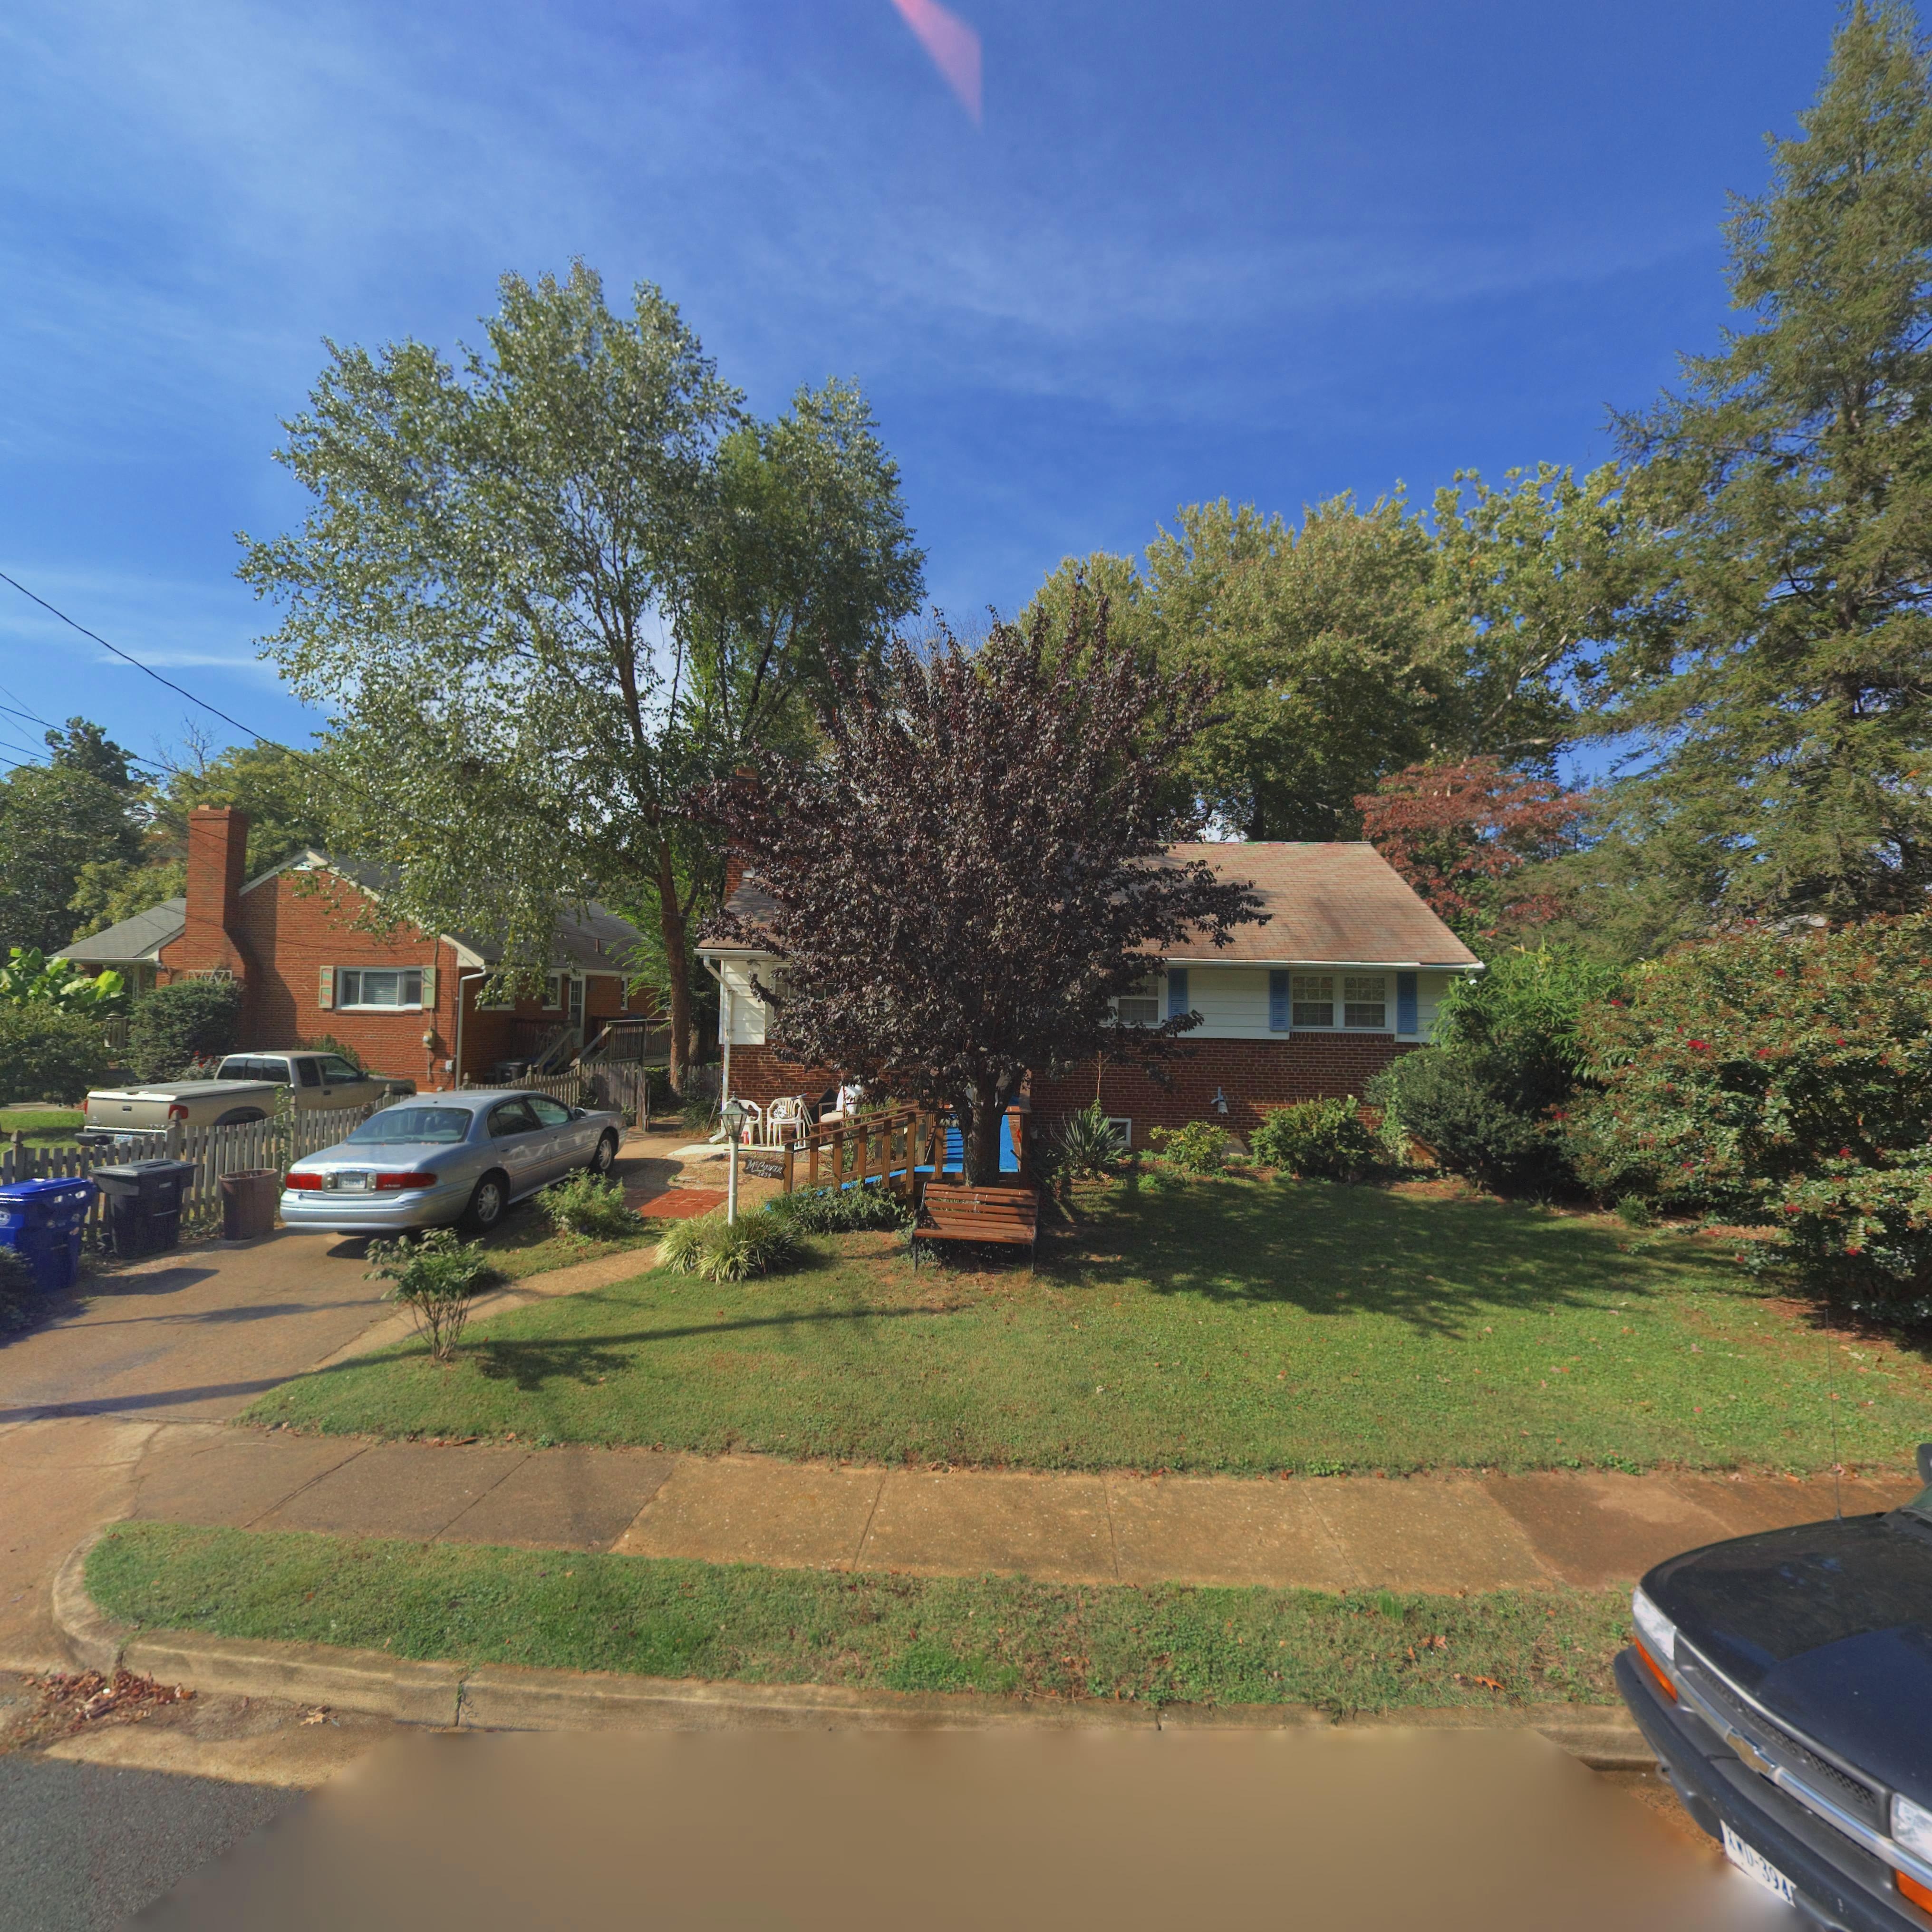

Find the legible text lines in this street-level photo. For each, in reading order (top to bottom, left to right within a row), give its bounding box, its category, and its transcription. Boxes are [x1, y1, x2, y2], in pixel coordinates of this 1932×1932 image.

[343, 1178, 364, 1185] None: 248363
[1726, 1826, 1790, 1903] None: XWD-394